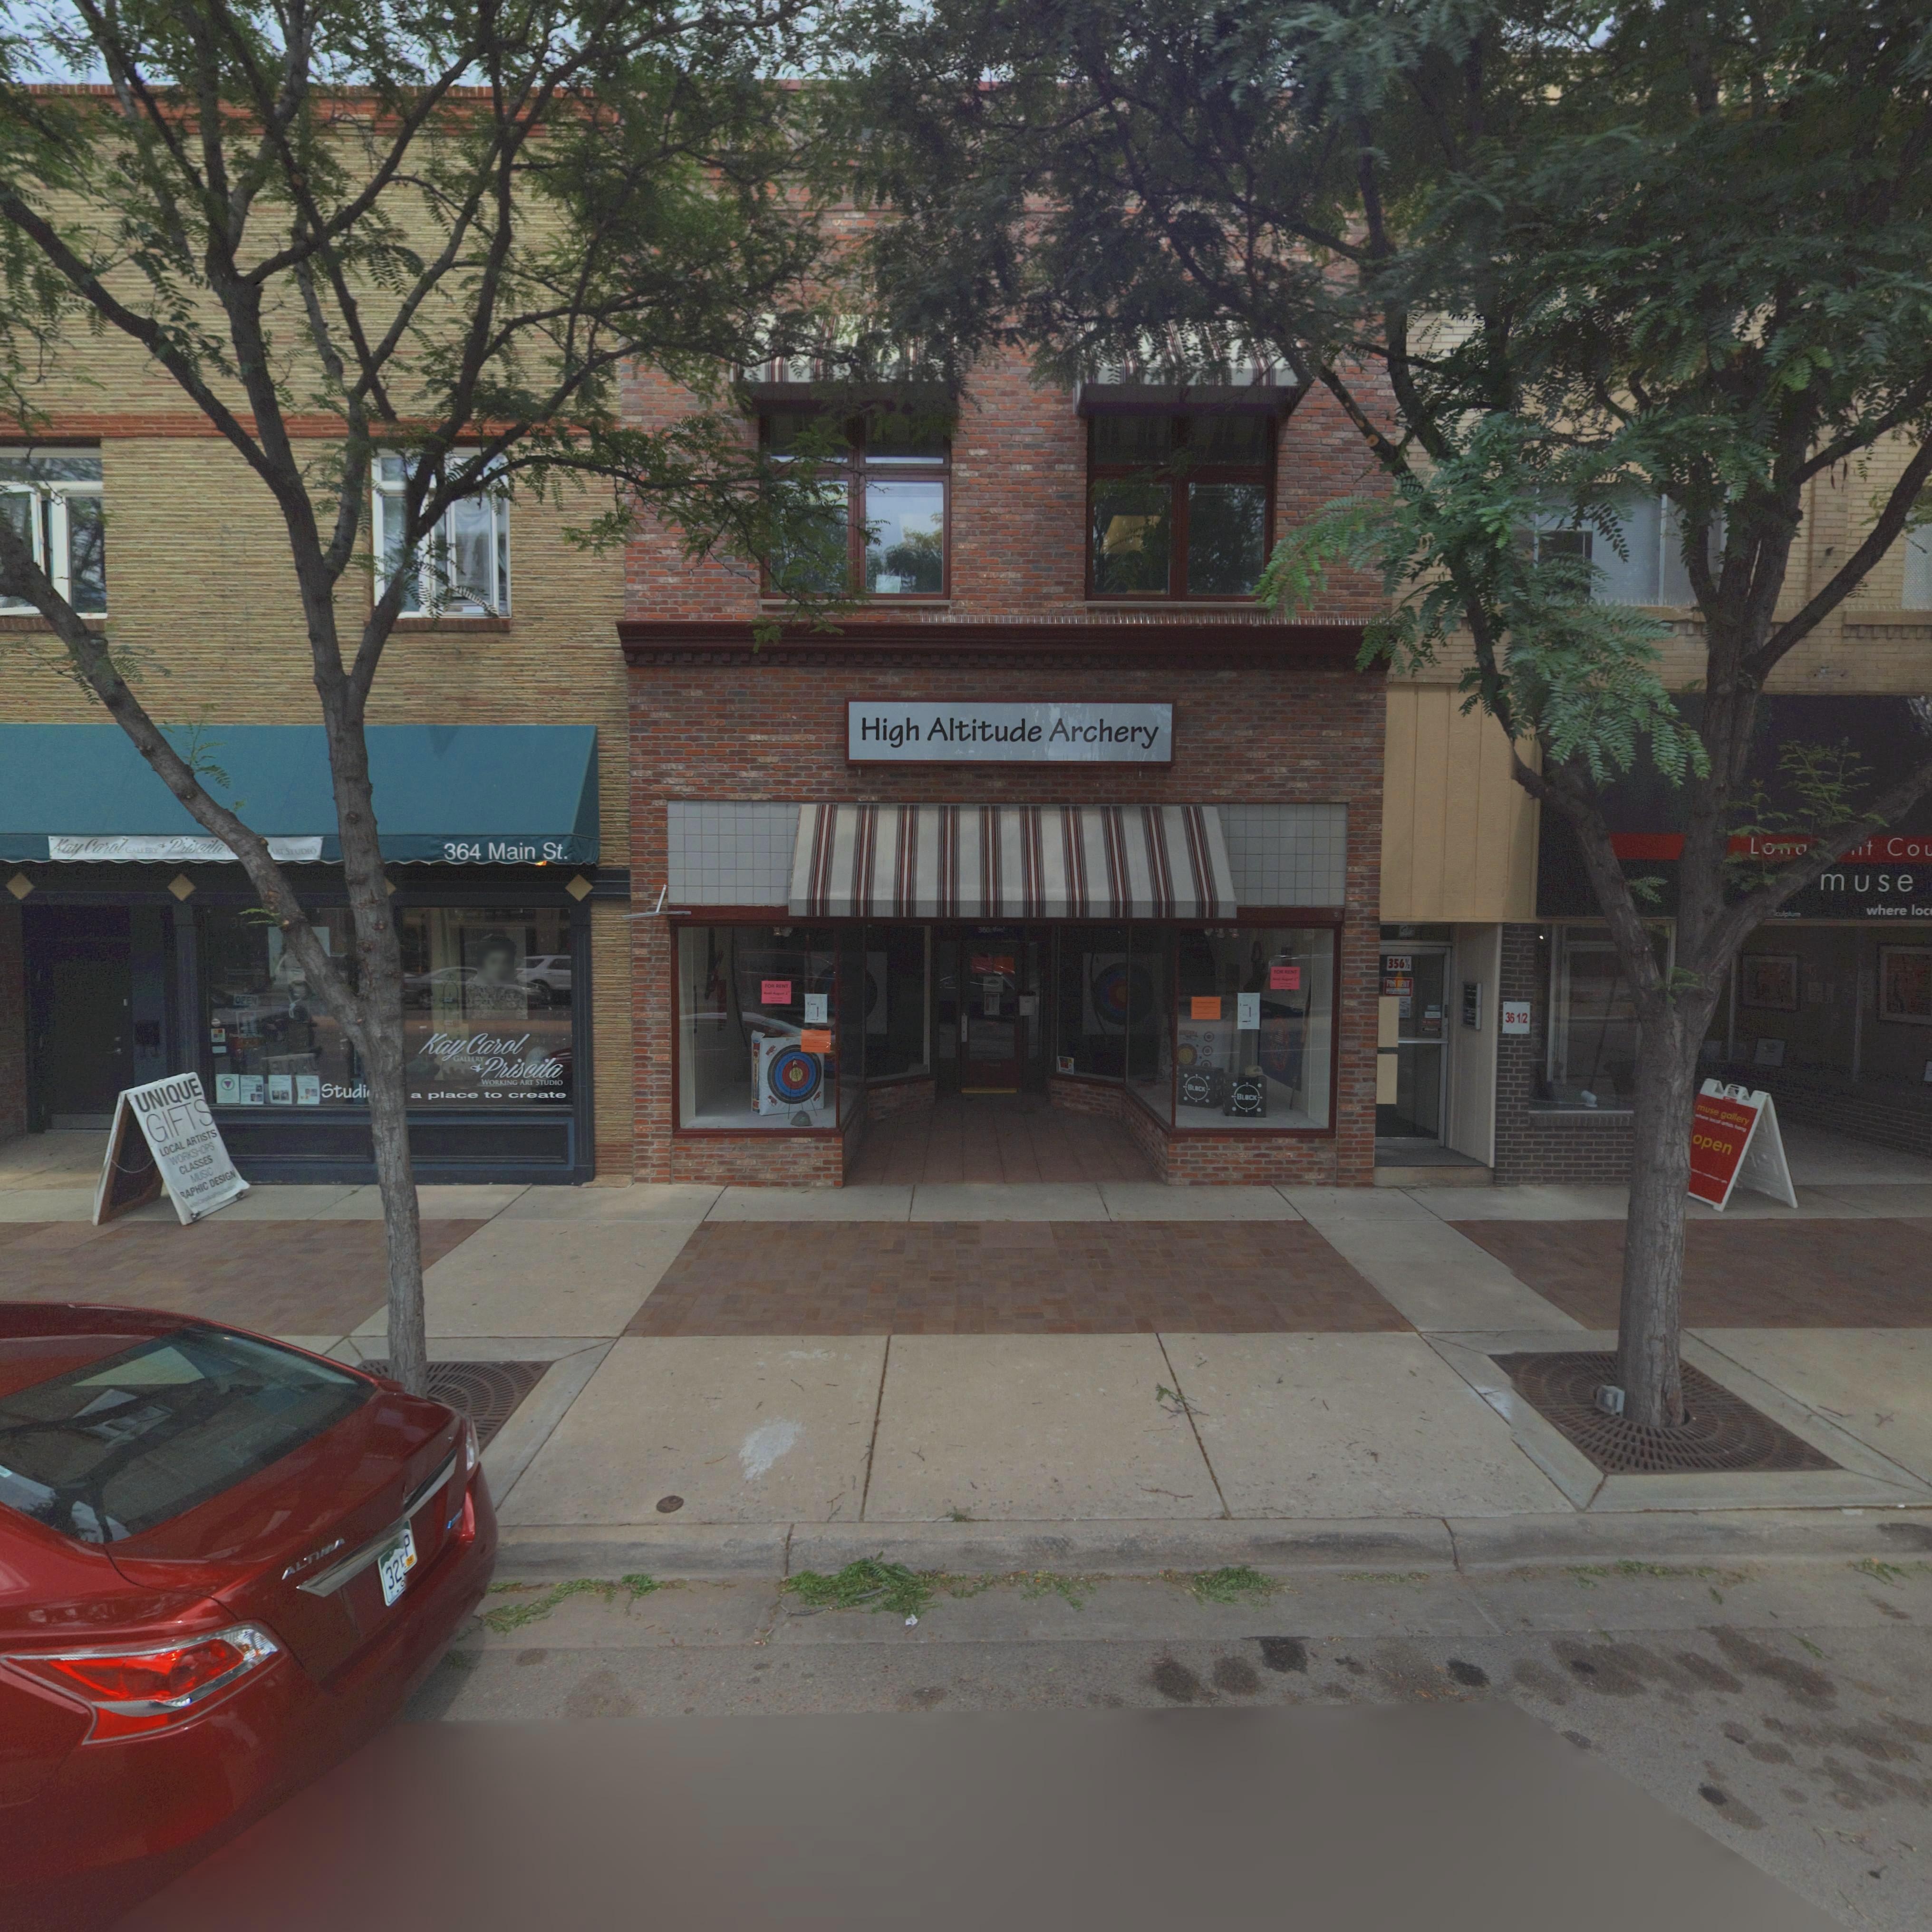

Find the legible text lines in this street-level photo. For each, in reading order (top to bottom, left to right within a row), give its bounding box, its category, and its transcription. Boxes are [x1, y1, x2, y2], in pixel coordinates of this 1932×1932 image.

[860, 715, 1161, 749] BusinessName: High Altitude Archery
[48, 837, 160, 859] BusinessName: Kay Carol GALLERY
[165, 836, 317, 855] BusinessName: Priscila ******* ART STUDIO
[443, 842, 482, 860] StreetNumber: 364
[488, 841, 568, 860] StreetName: Main St.
[1820, 873, 1914, 893] BusinessName: muse *******
[978, 927, 990, 933] StreetNumber: 360
[1388, 958, 1410, 968] StreetNumber: 356 1/2
[1505, 1012, 1528, 1024] StreetNumber: 3*6 1/2
[417, 1032, 534, 1062] BusinessName: Kay Carol
[452, 1054, 485, 1062] BusinessName: GALLERY
[479, 1055, 565, 1079] BusinessName: Priscila
[481, 1079, 563, 1085] BusinessName: WORKING ART STUDIO
[1696, 1104, 1751, 1126] BusinessName: muse gallery